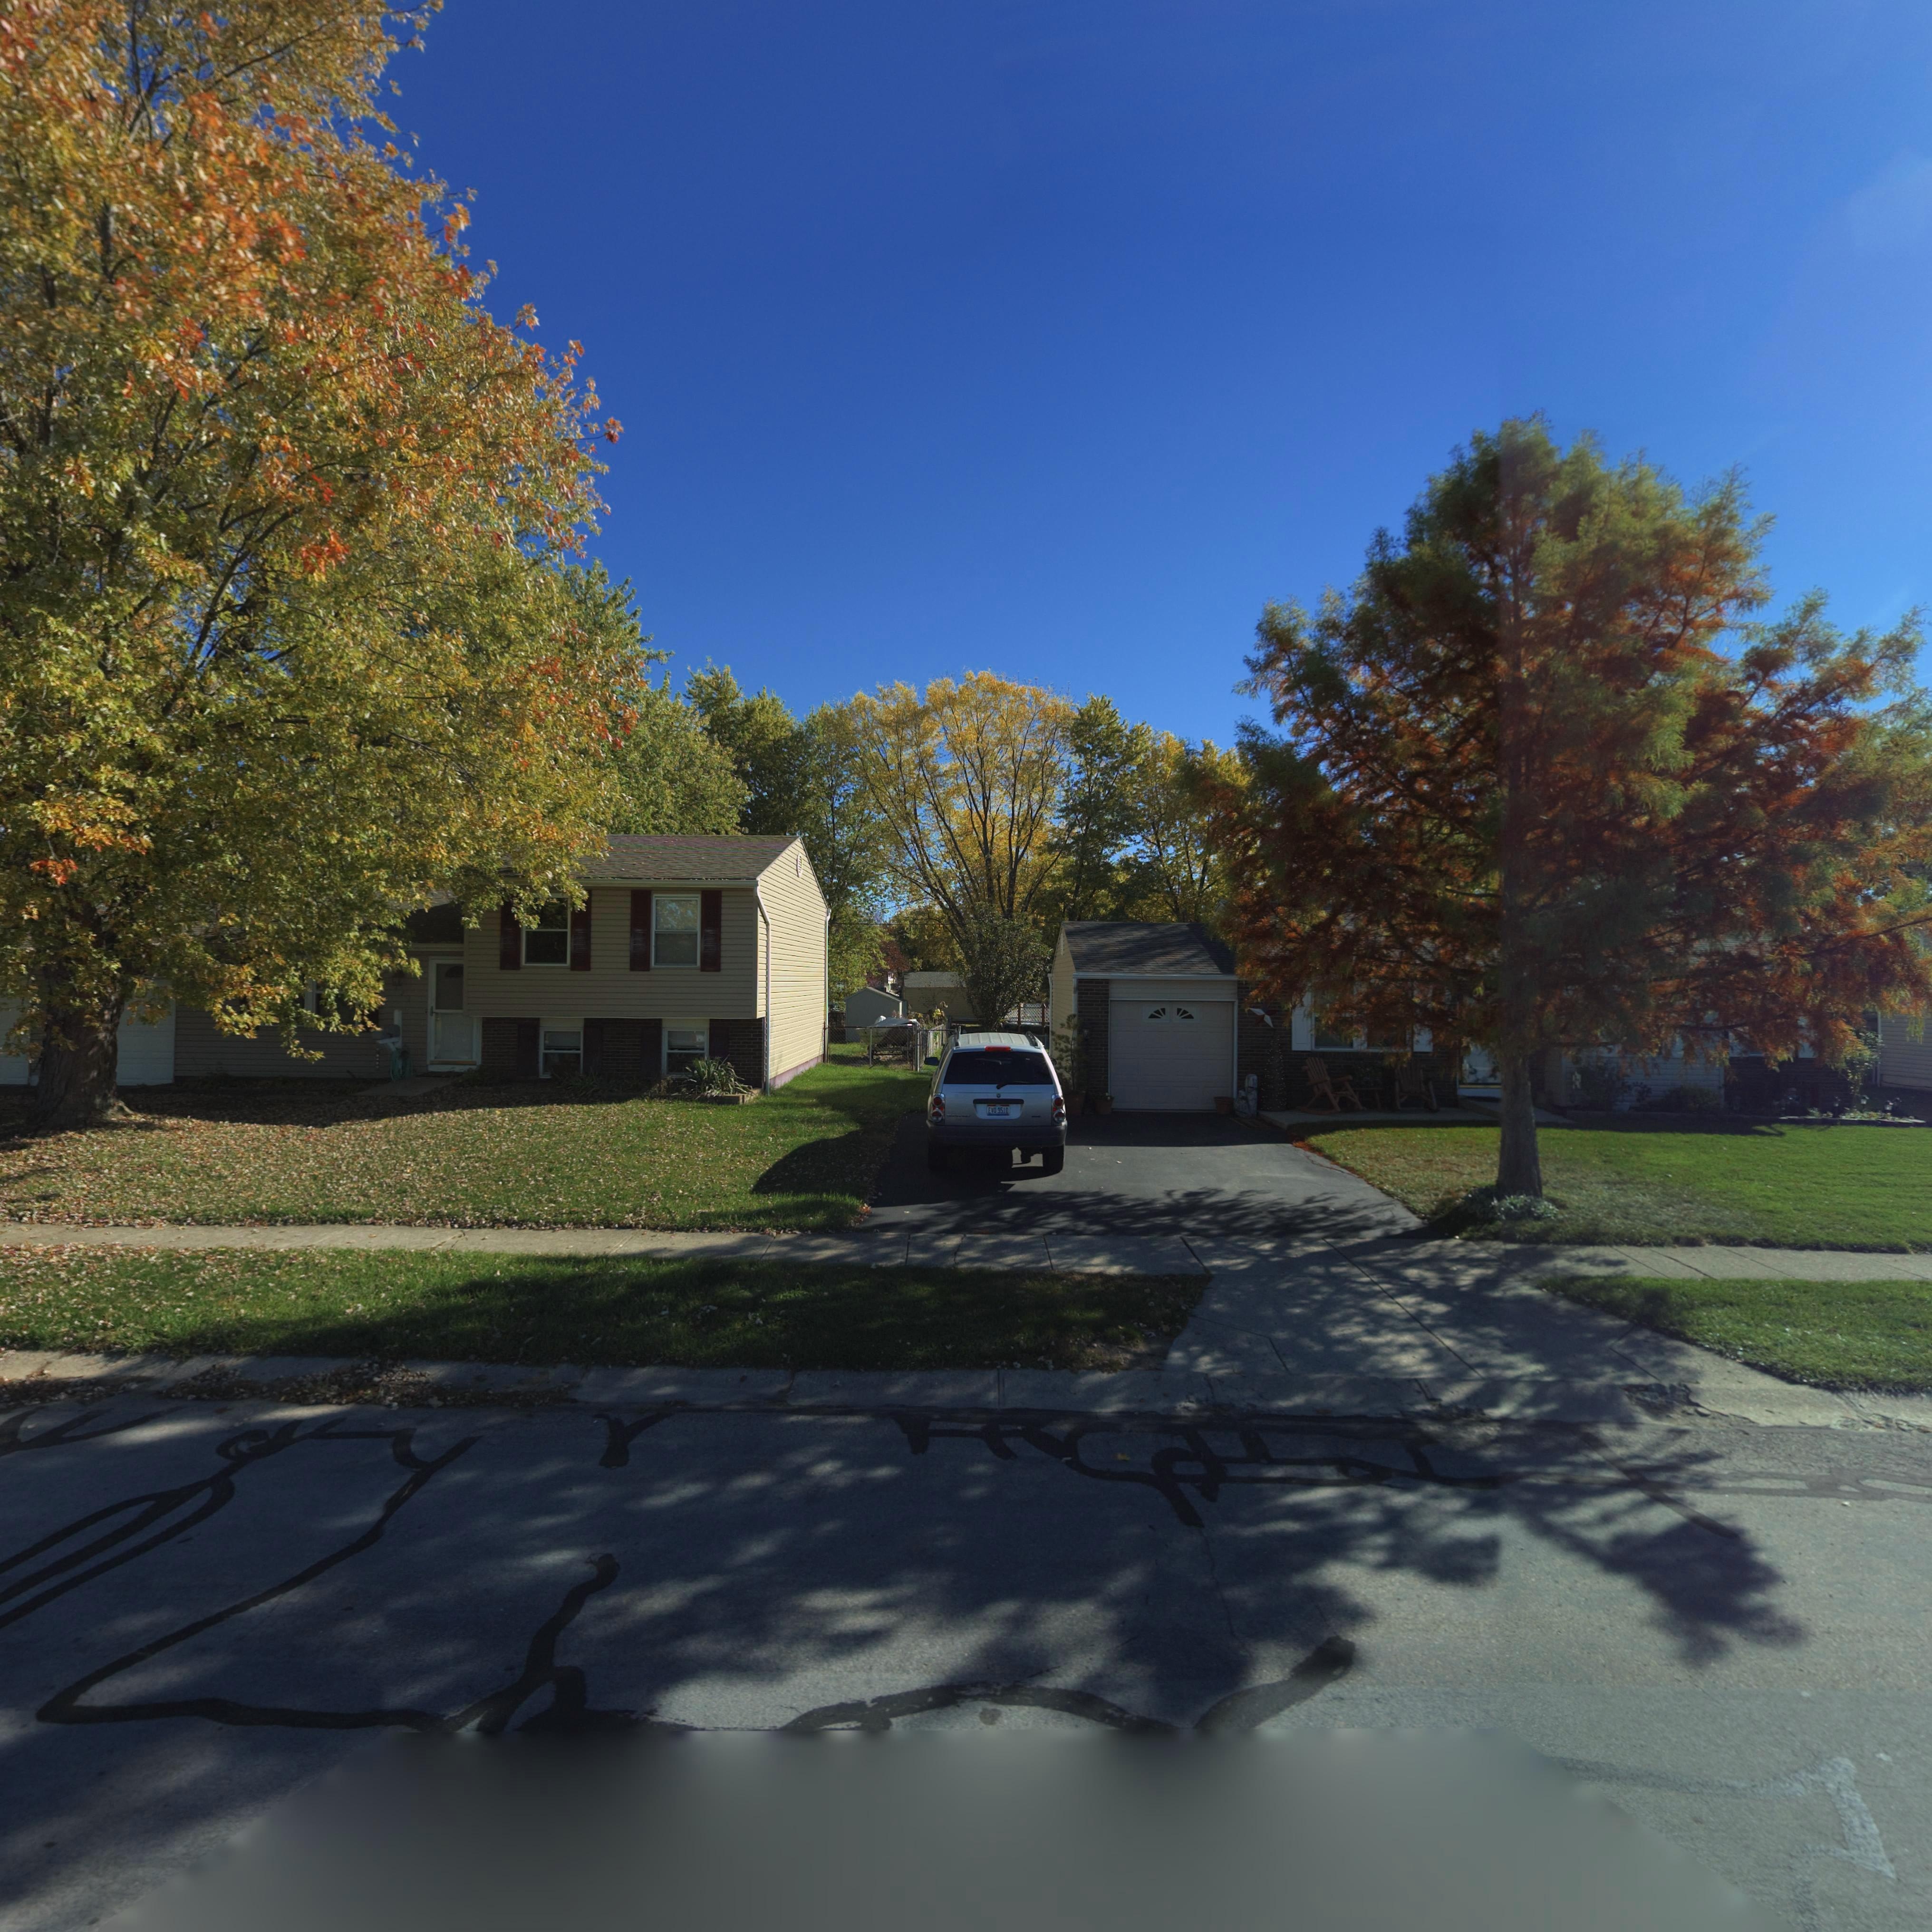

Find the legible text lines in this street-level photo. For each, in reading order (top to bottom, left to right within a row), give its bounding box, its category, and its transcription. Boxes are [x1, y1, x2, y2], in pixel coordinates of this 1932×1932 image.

[394, 985, 412, 1003] StreetNumber: 121
[987, 1106, 1010, 1114] None: EVO 9510